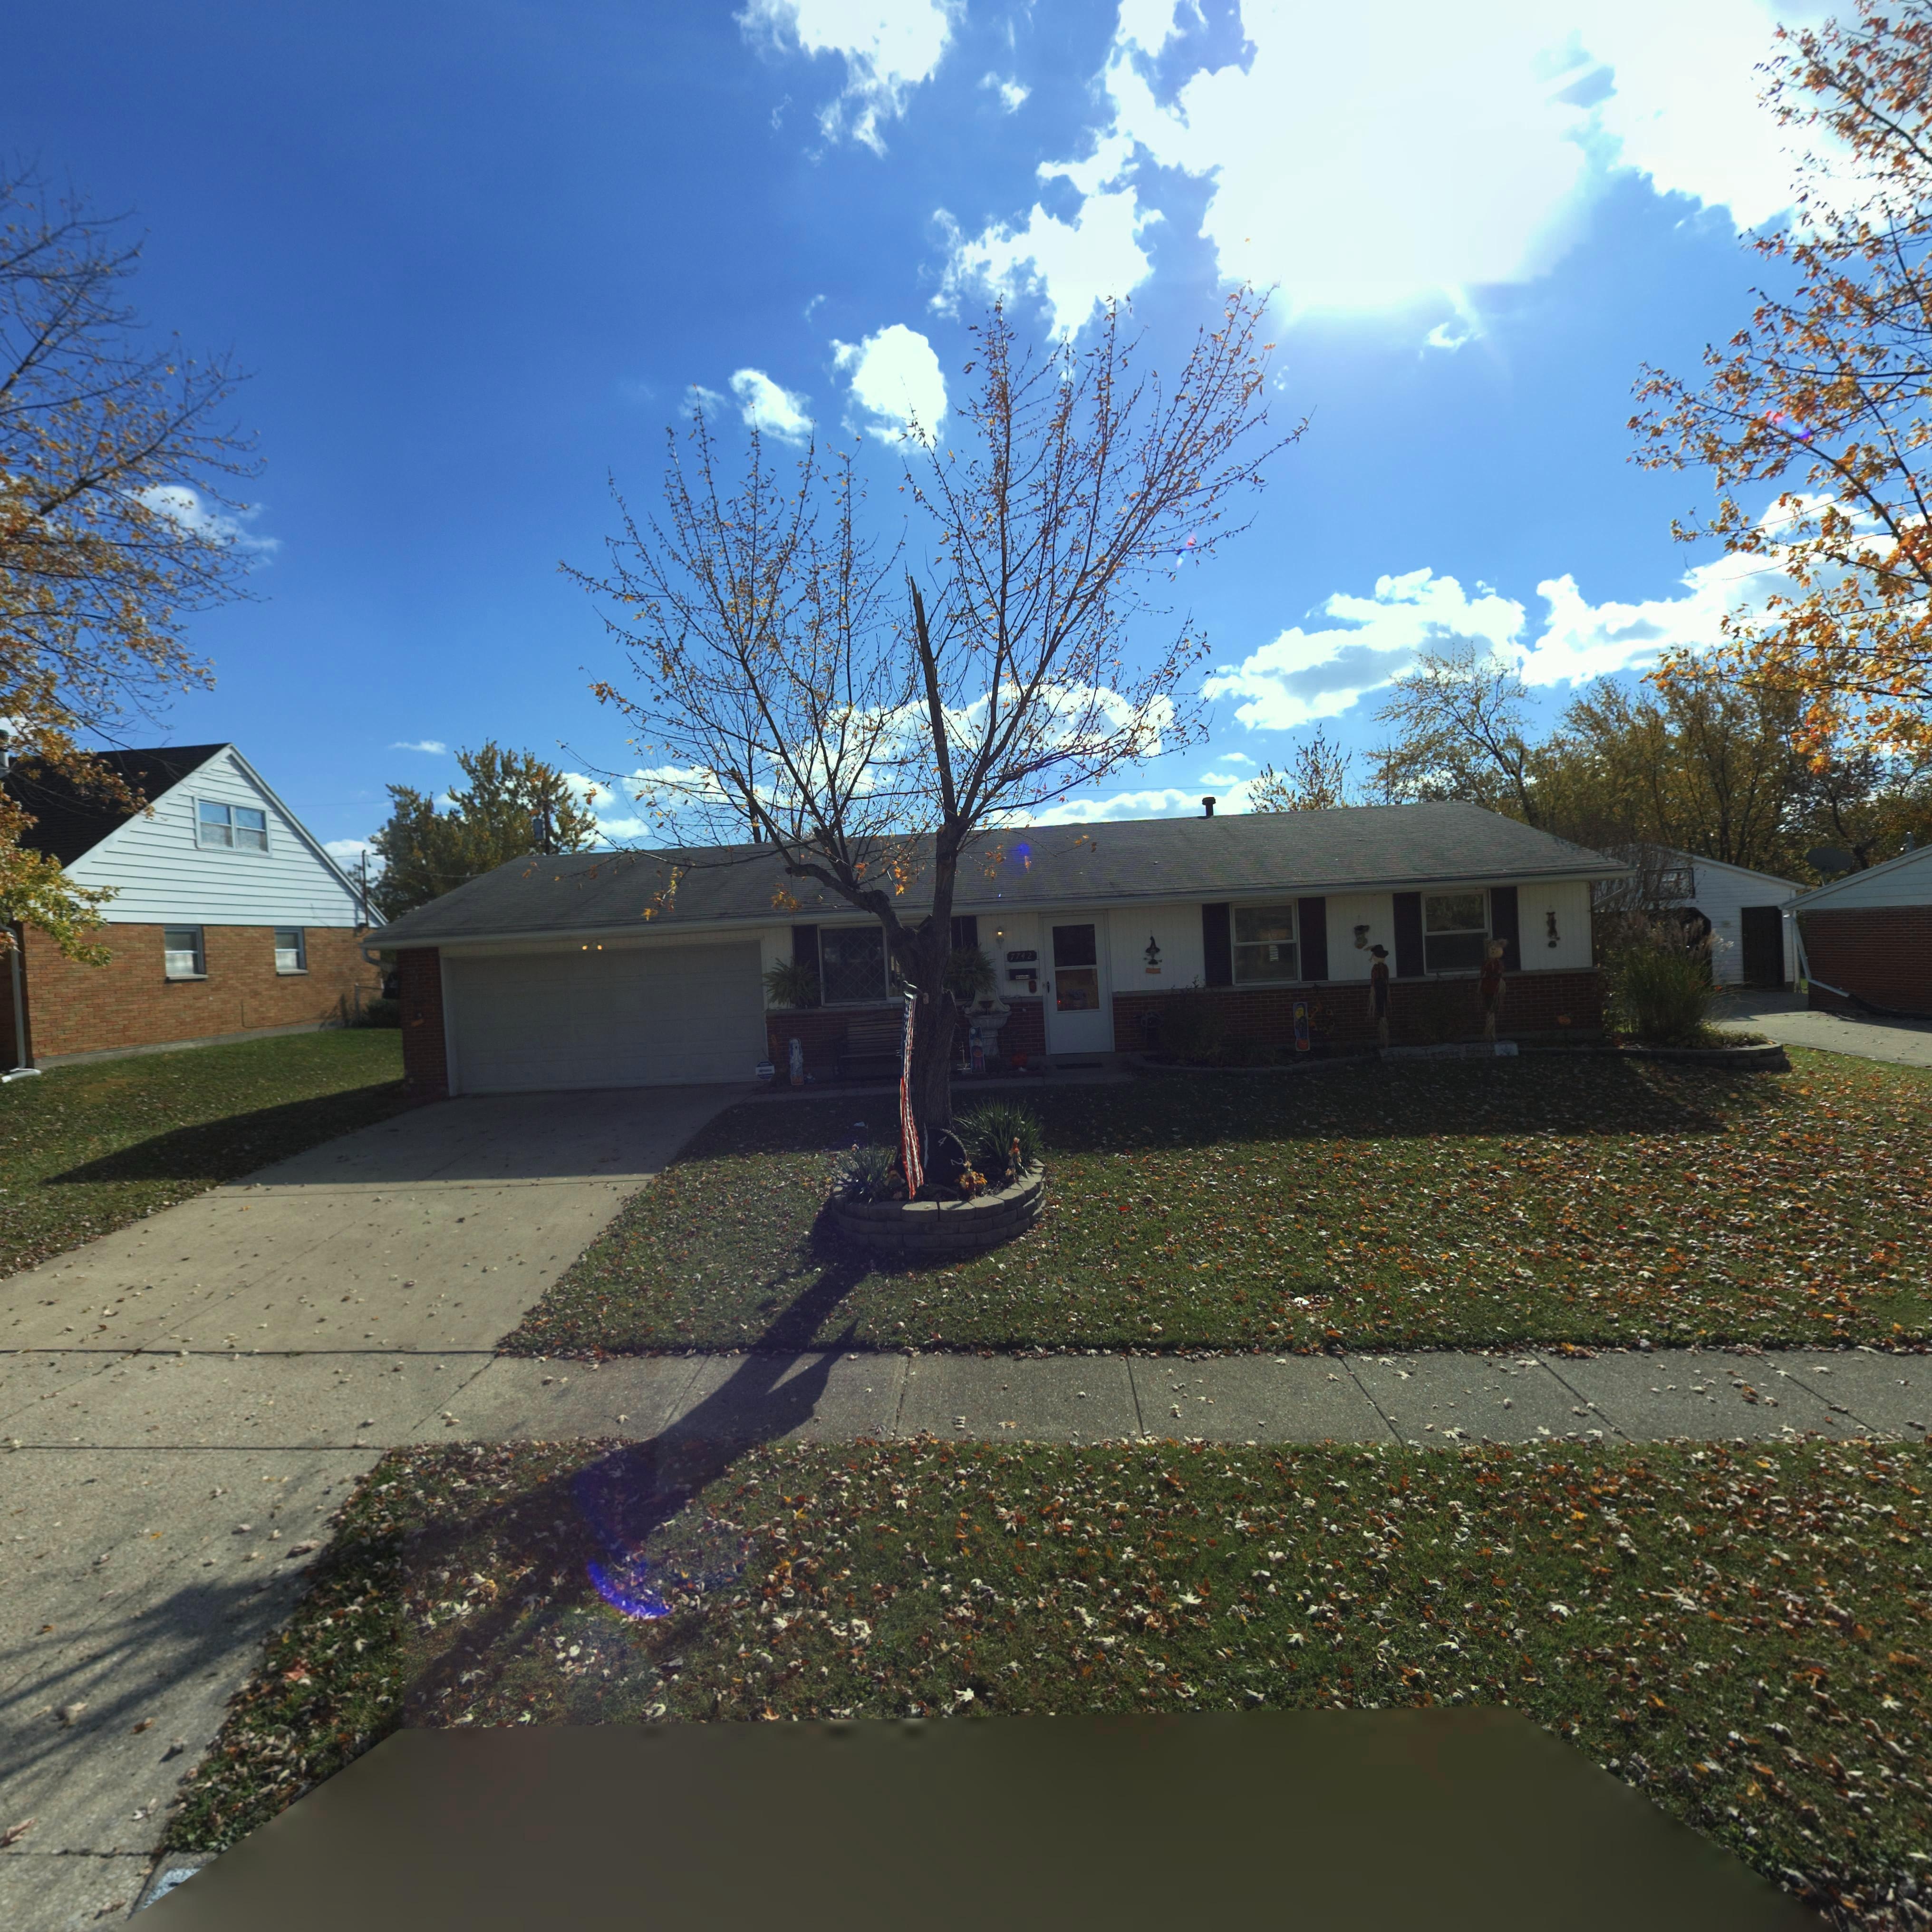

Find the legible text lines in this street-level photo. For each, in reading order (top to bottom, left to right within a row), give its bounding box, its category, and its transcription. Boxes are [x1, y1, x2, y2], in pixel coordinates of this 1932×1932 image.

[1010, 952, 1032, 961] StreetNumber: 7742